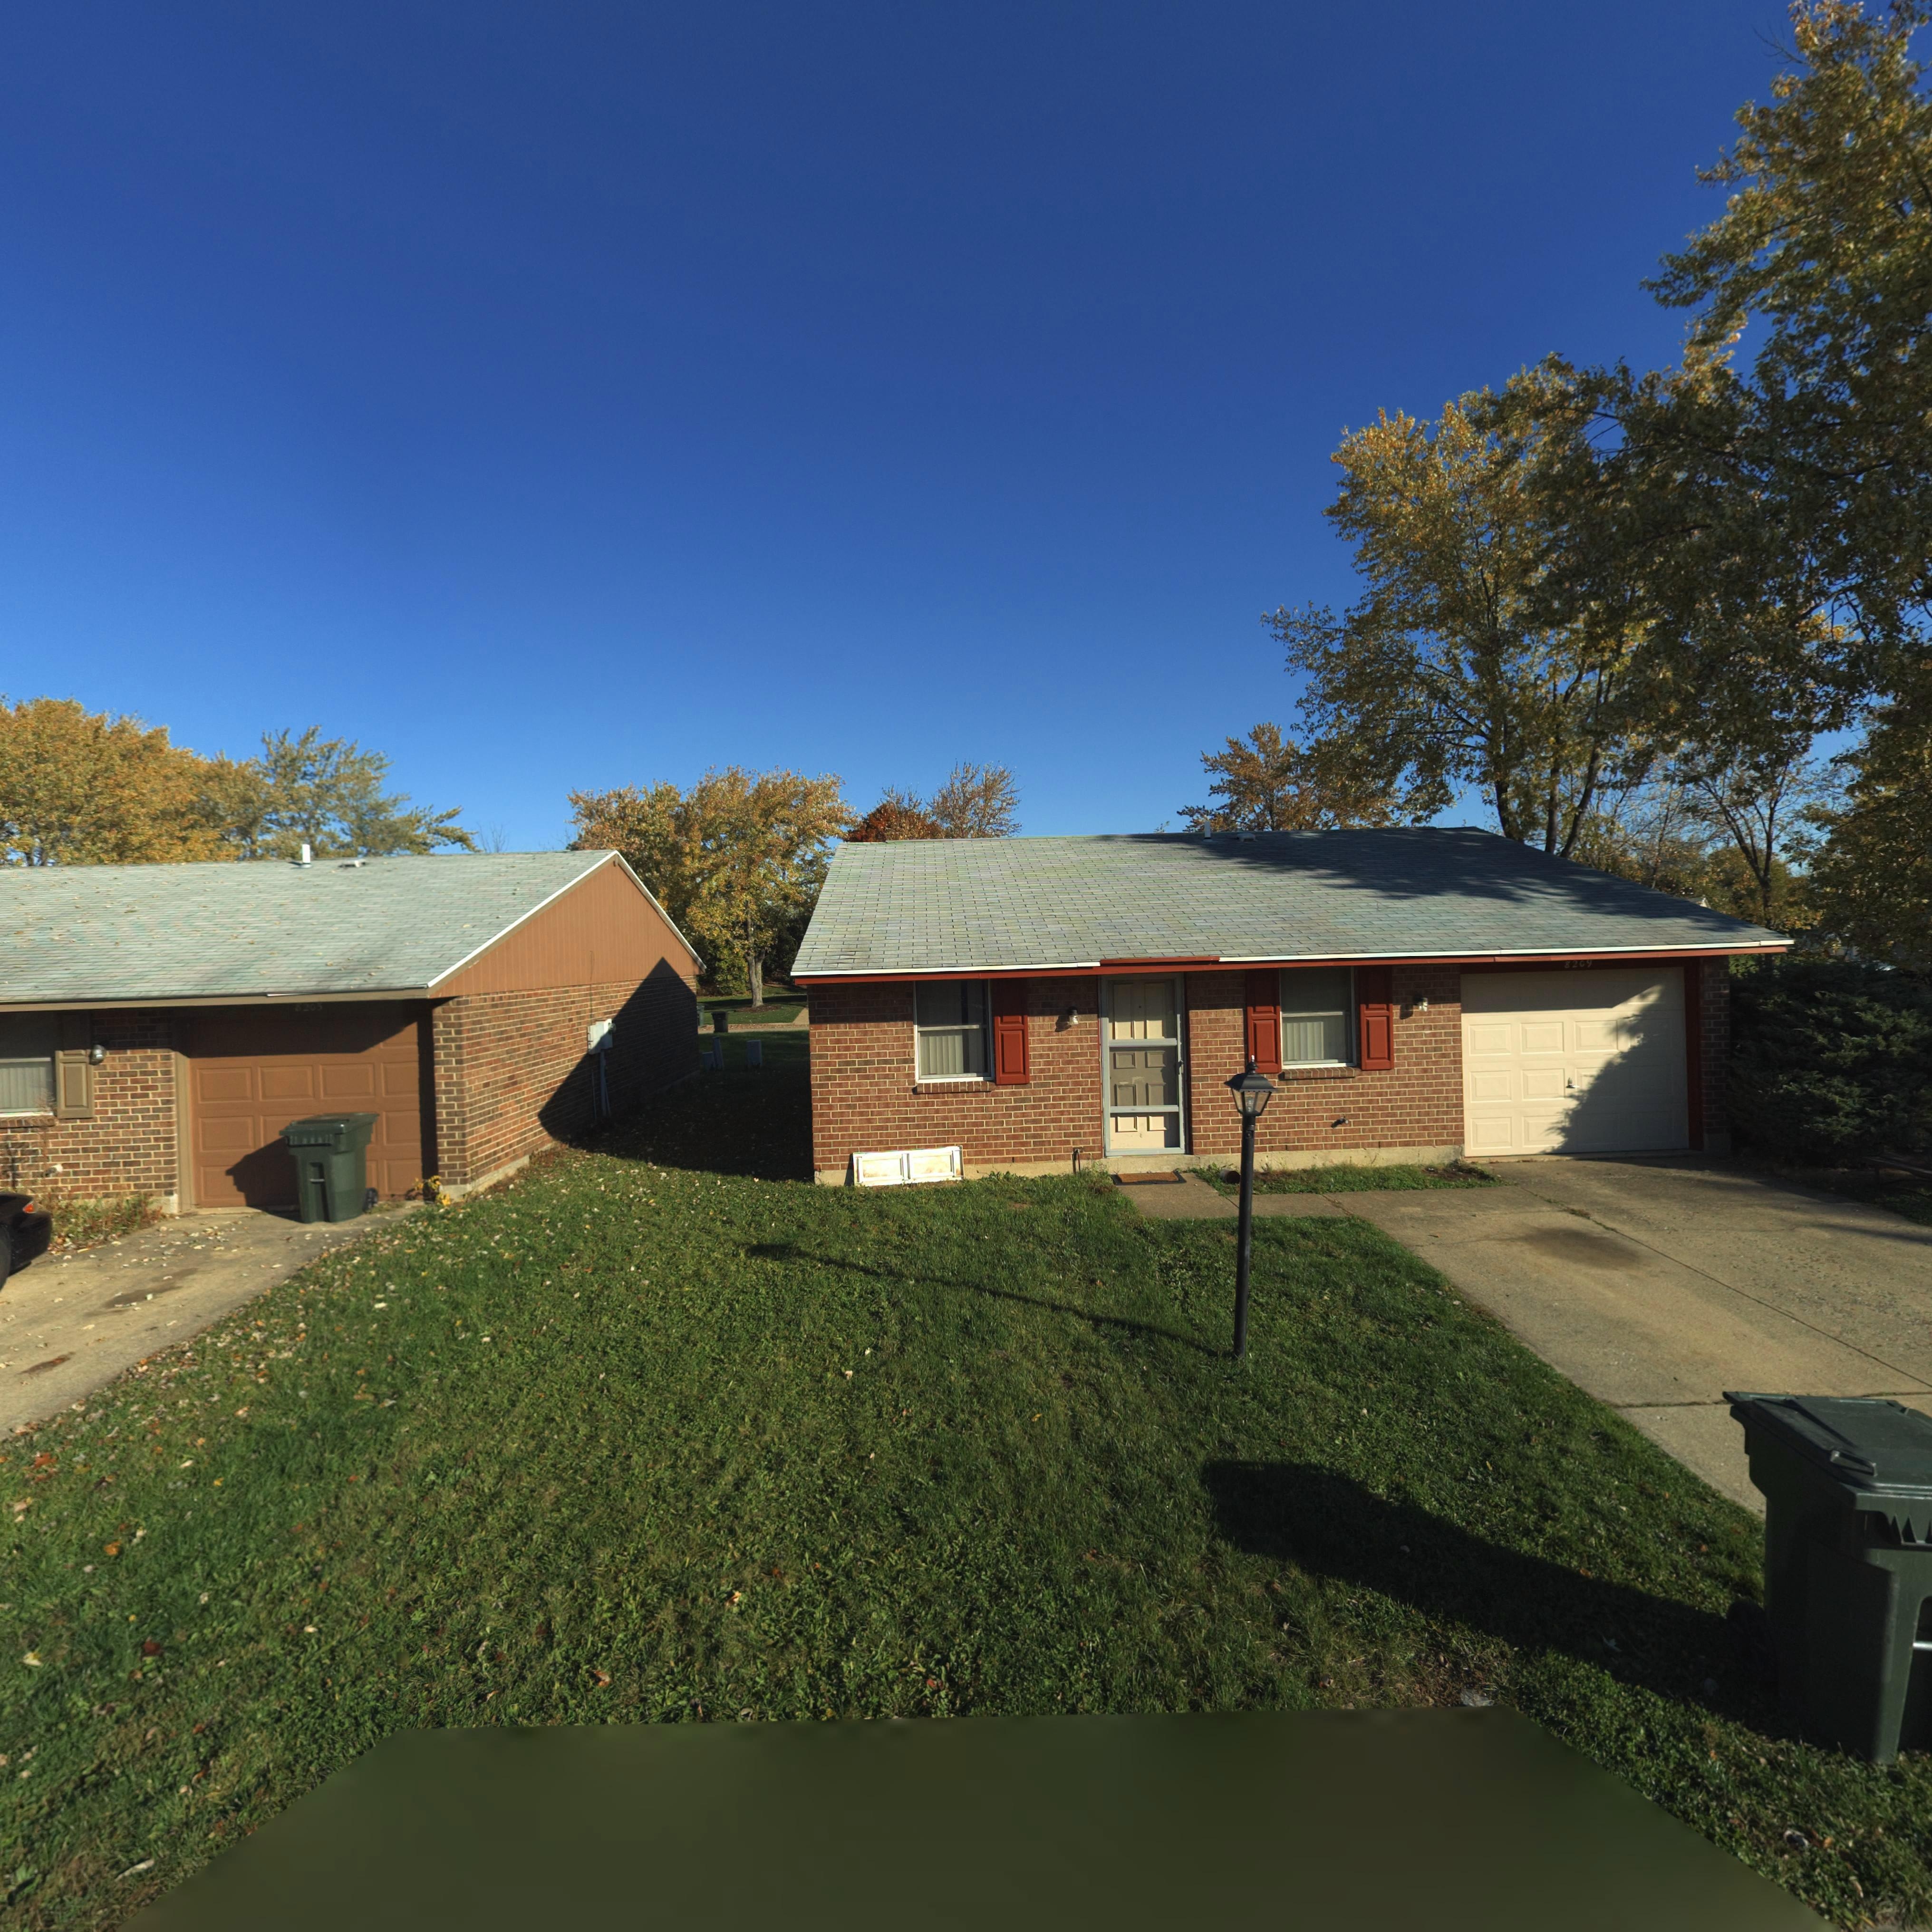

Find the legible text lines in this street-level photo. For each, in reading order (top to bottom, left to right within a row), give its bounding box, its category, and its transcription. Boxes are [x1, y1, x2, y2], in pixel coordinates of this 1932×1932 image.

[1564, 958, 1593, 969] StreetNumber: 8209
[293, 1002, 324, 1012] StreetNumber: 8205